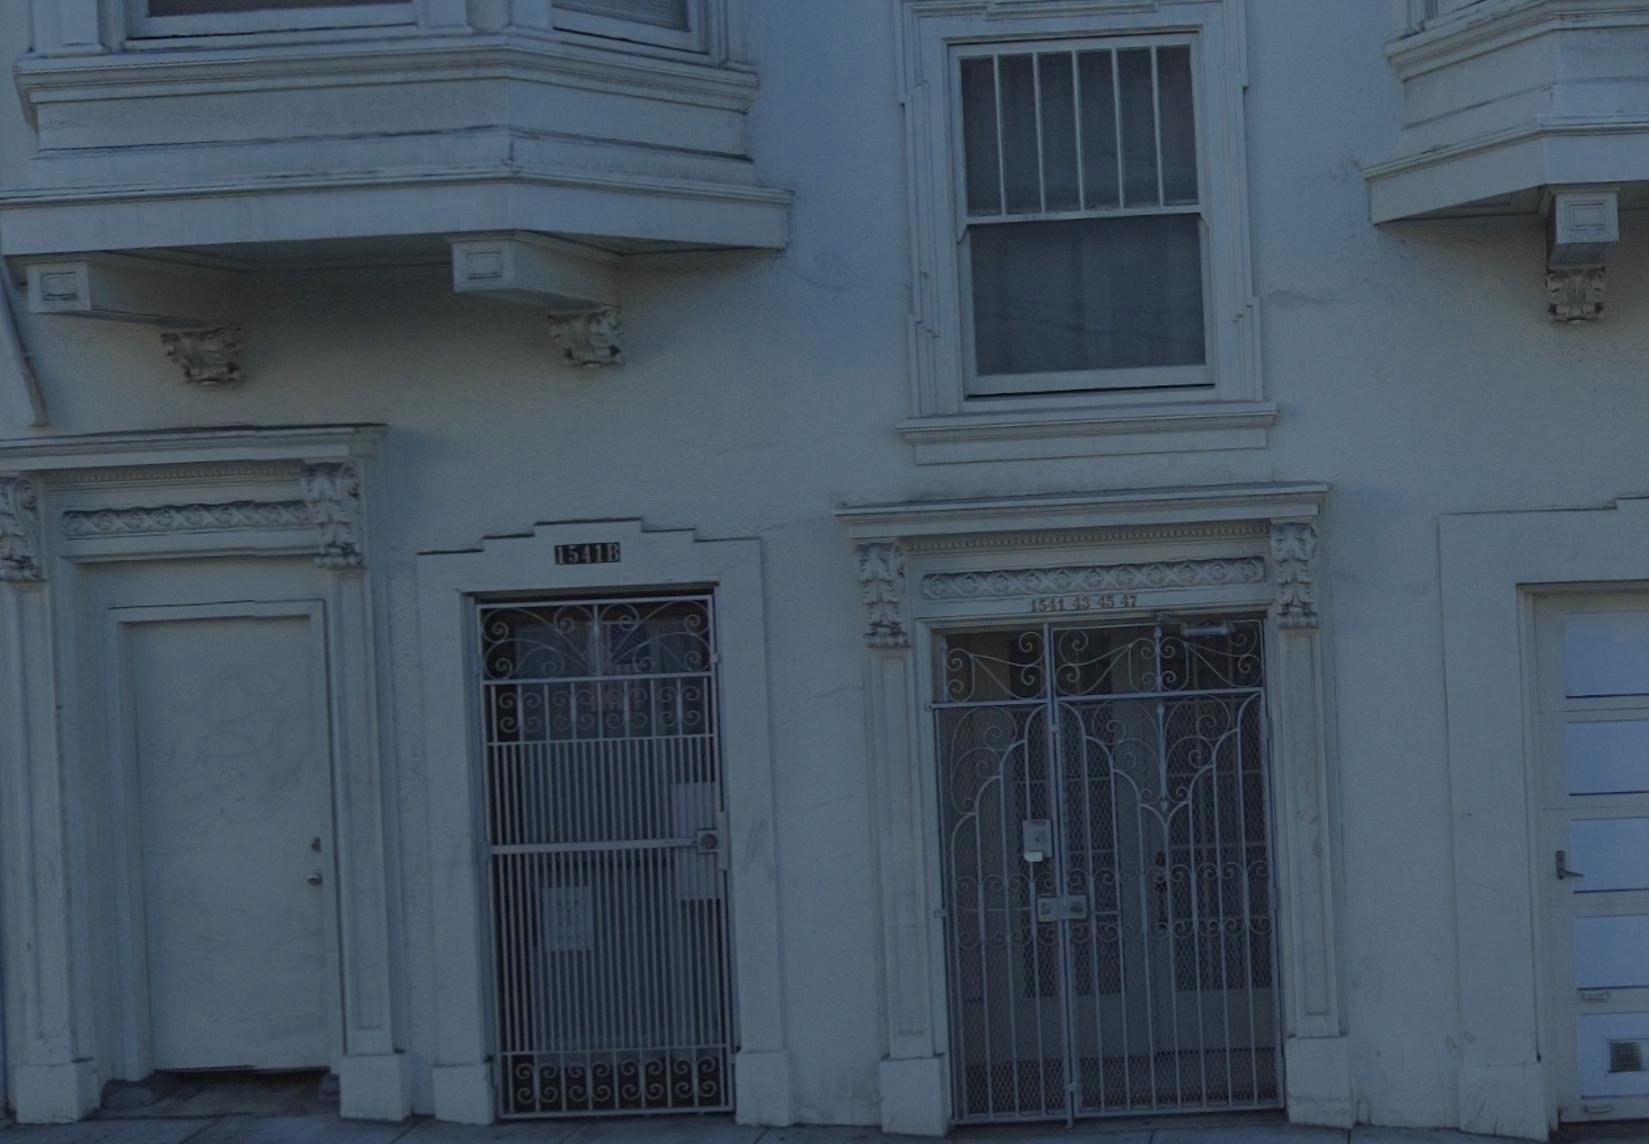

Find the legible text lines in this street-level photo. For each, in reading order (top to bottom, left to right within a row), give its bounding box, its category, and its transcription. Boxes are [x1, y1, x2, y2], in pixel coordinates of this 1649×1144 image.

[556, 543, 620, 565] StreetNumber: 1541B
[1029, 594, 1139, 613] StreetNumber: 1541 43 45 47